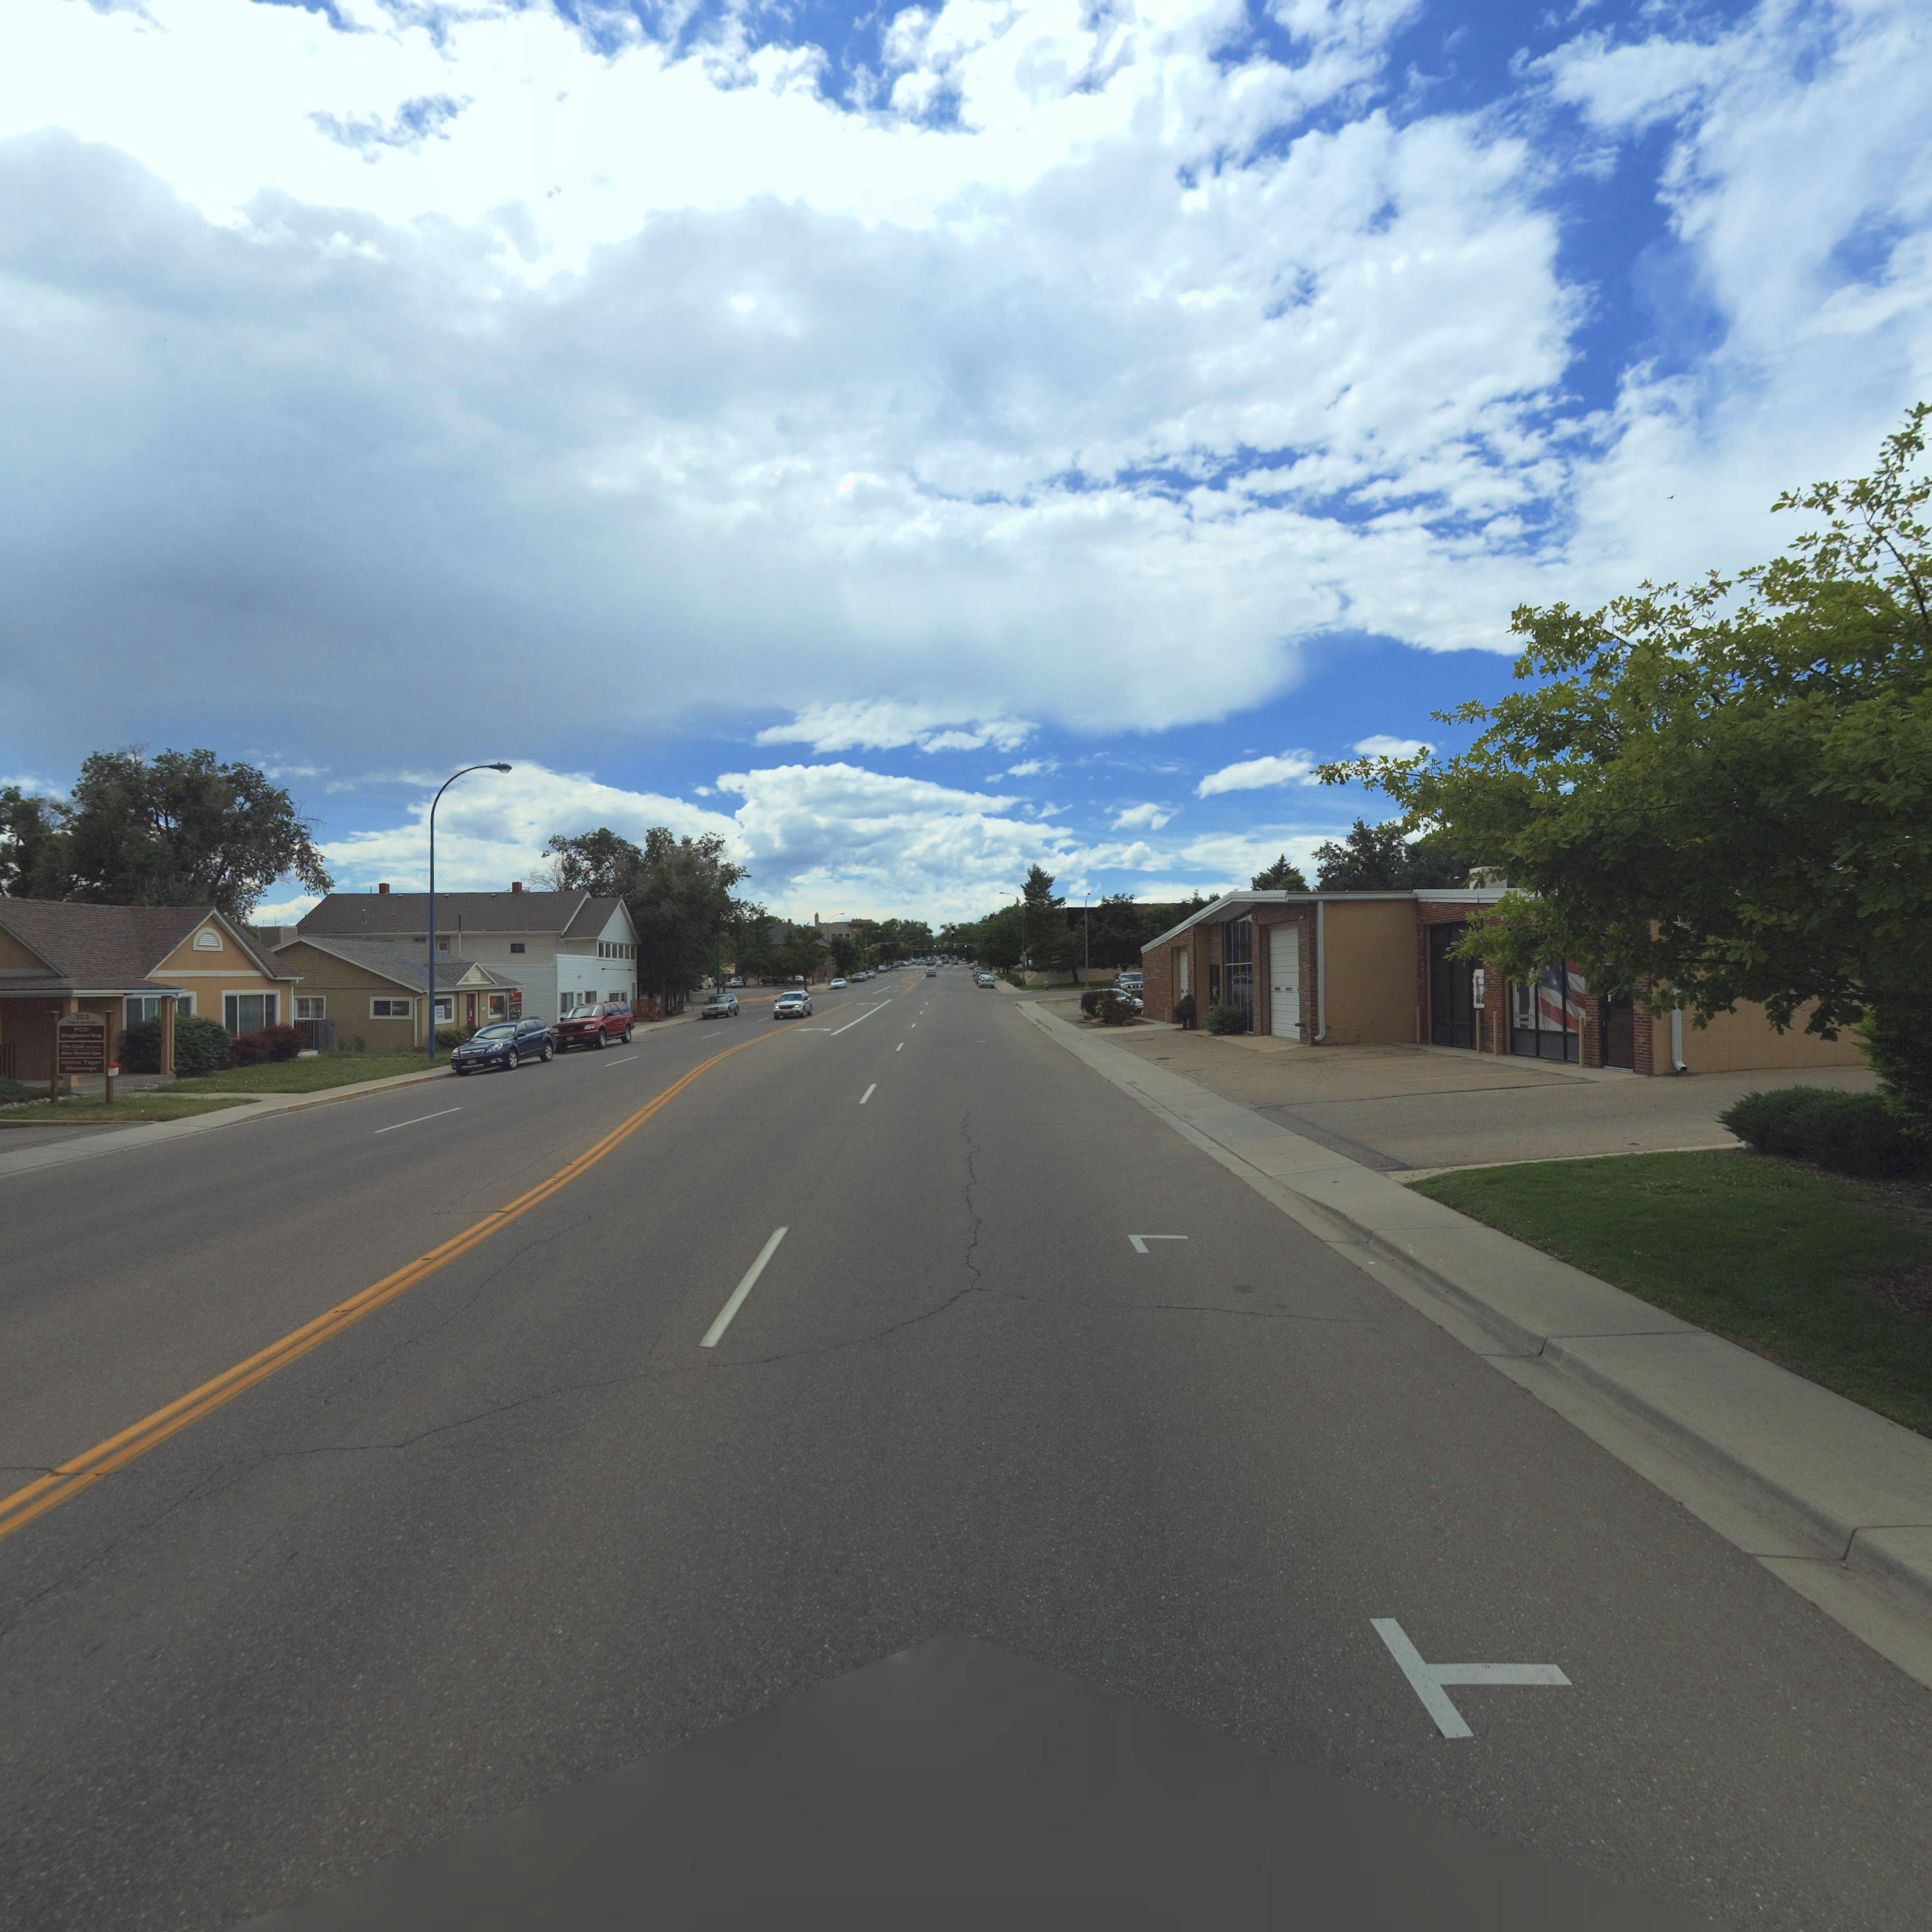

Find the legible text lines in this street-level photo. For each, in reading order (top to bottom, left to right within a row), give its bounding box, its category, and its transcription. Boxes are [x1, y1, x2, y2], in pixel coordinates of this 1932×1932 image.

[75, 1014, 89, 1020] StreetNumber: 323
[60, 1060, 102, 1066] BusinessName: ***** Tiger
[65, 1066, 97, 1072] BusinessName: Massage